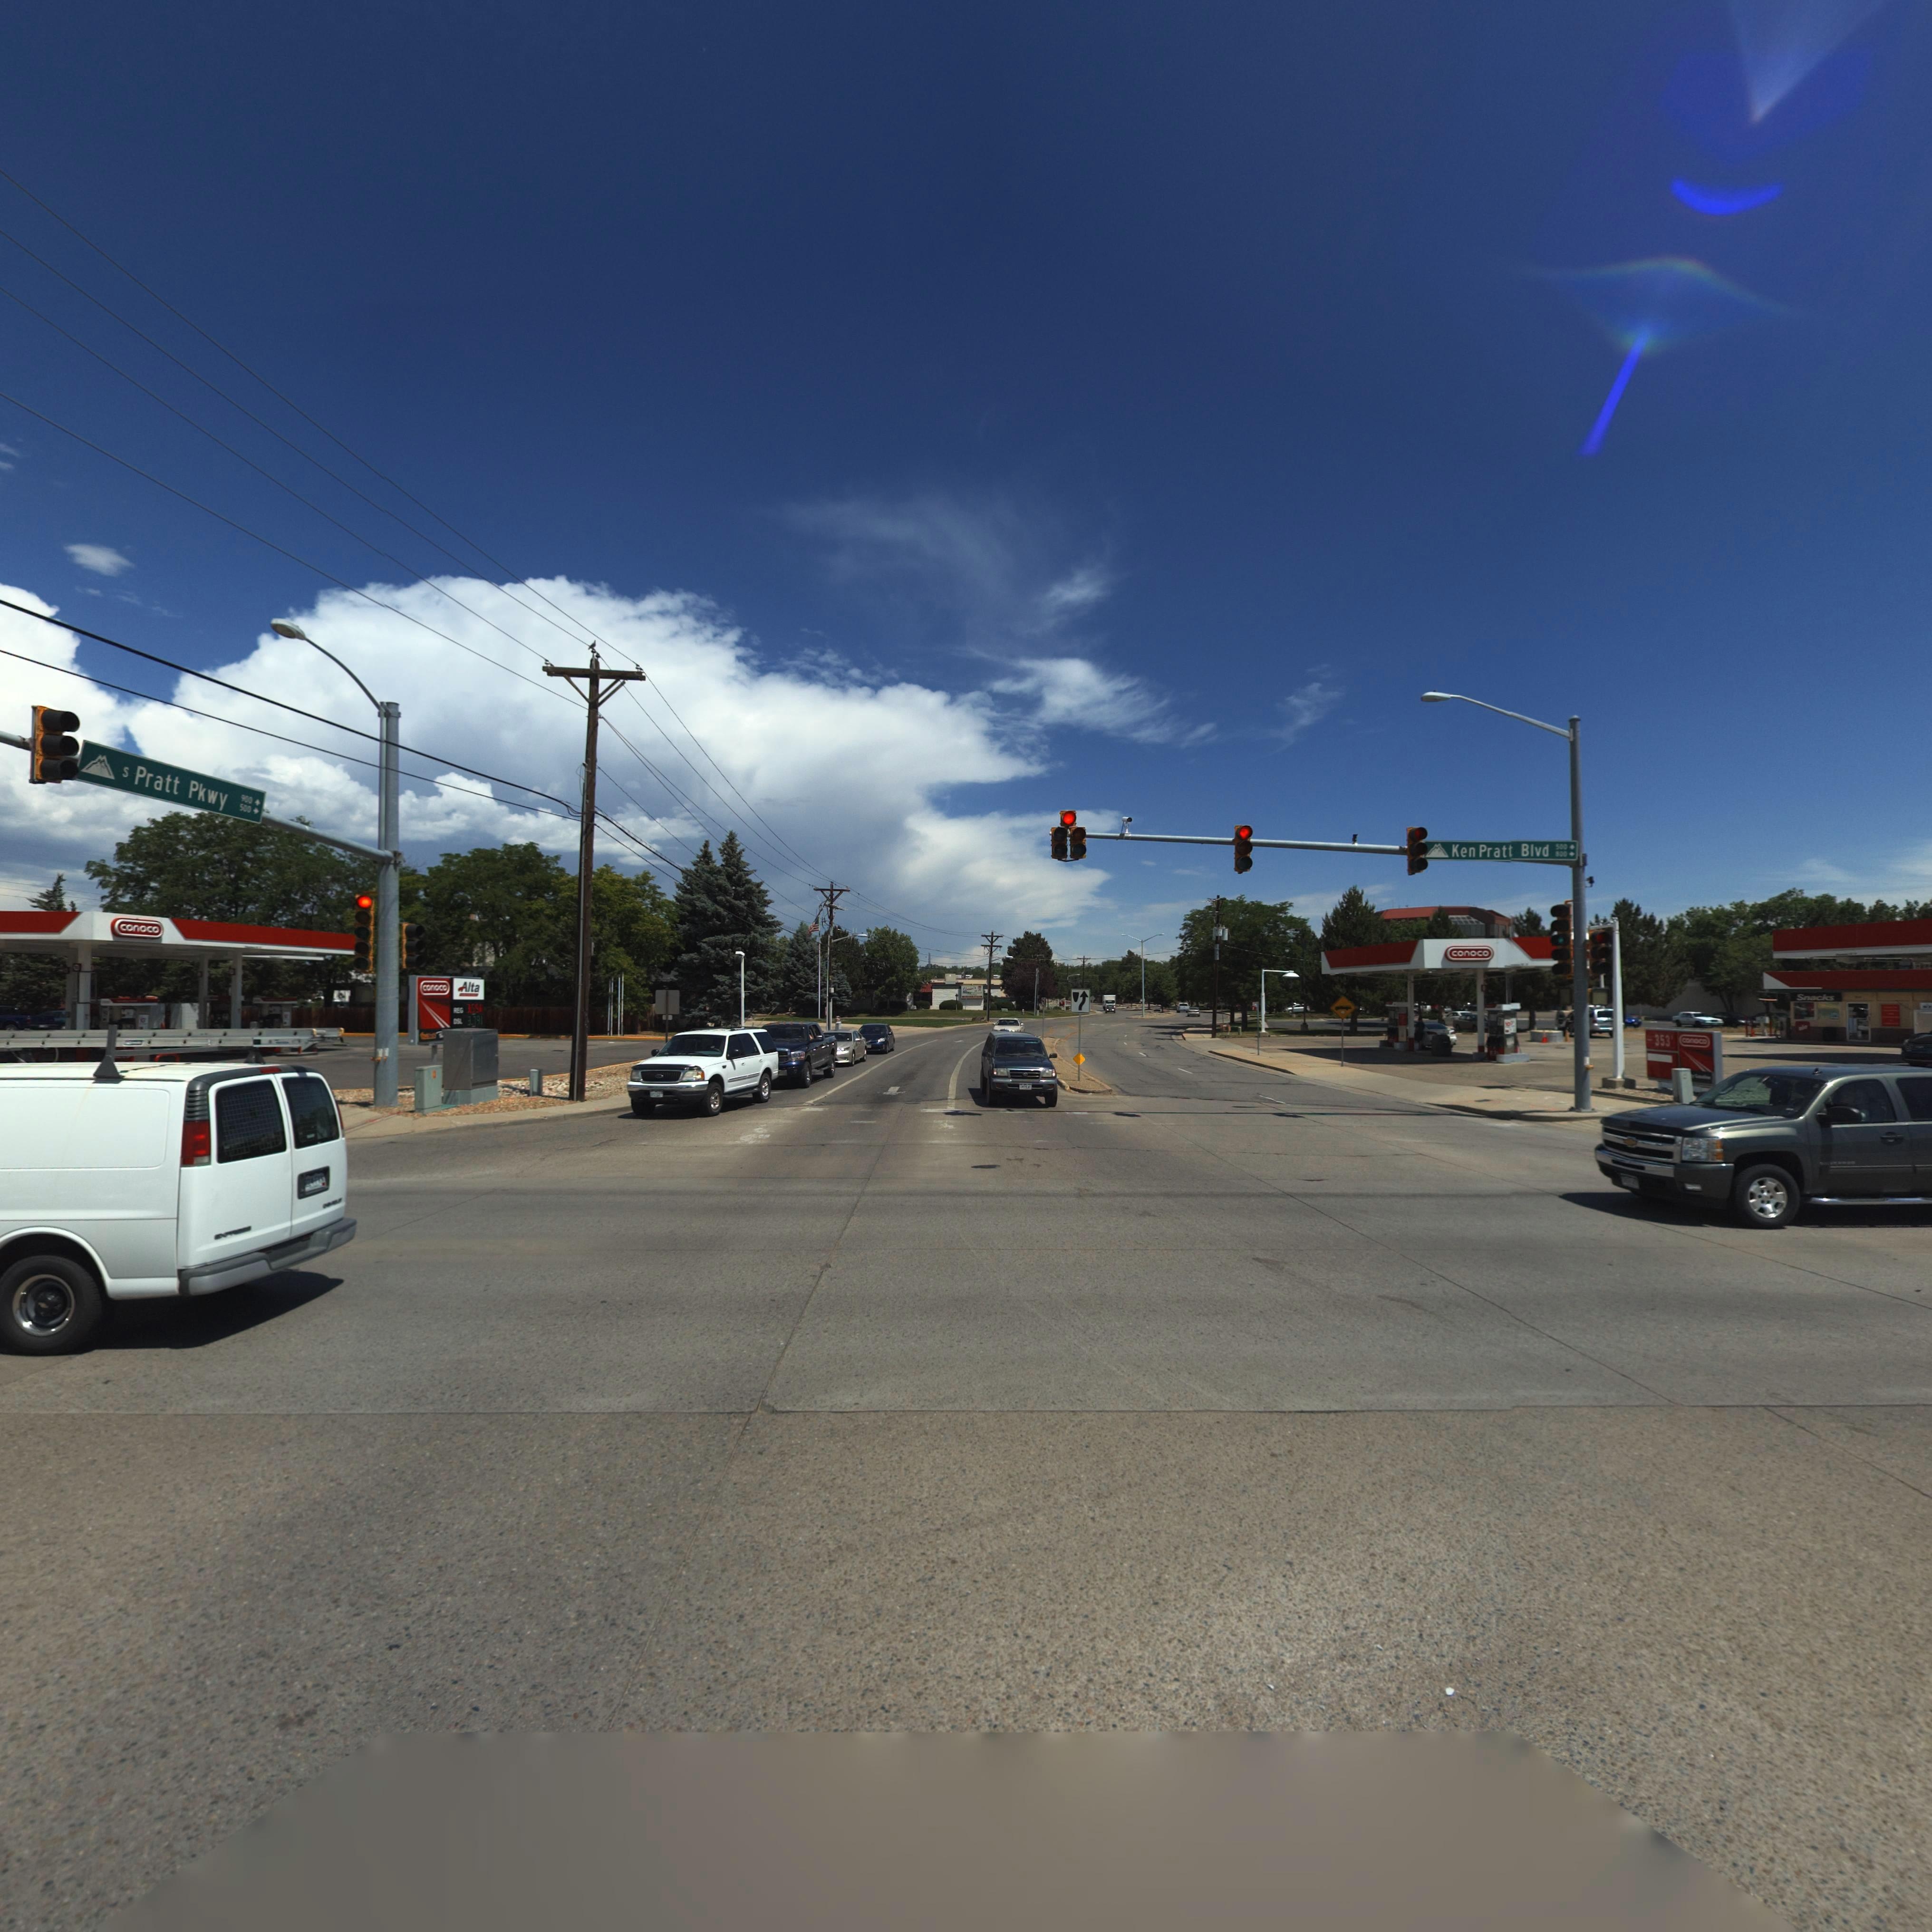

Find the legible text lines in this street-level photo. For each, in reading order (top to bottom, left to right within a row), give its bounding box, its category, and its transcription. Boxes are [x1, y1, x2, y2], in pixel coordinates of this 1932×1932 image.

[121, 766, 129, 778] StreetName: S
[133, 764, 228, 811] StreetName: Pratt Pkwy
[240, 794, 252, 804] StreetNumberRange:  900
[238, 803, 259, 814] StreetNumberRange: 500 ->
[1451, 843, 1549, 857] StreetName: Ken Pratt Blvd
[1555, 843, 1567, 850] StreetNumberRange: 500
[1555, 851, 1575, 856] StreetNumberRange: 800 ->
[119, 923, 159, 933] BusinessName: conoco
[1451, 950, 1489, 956] BusinessName: conoco
[422, 984, 447, 991] BusinessName: conoco
[1681, 1037, 1708, 1044] BusinessName: conoco